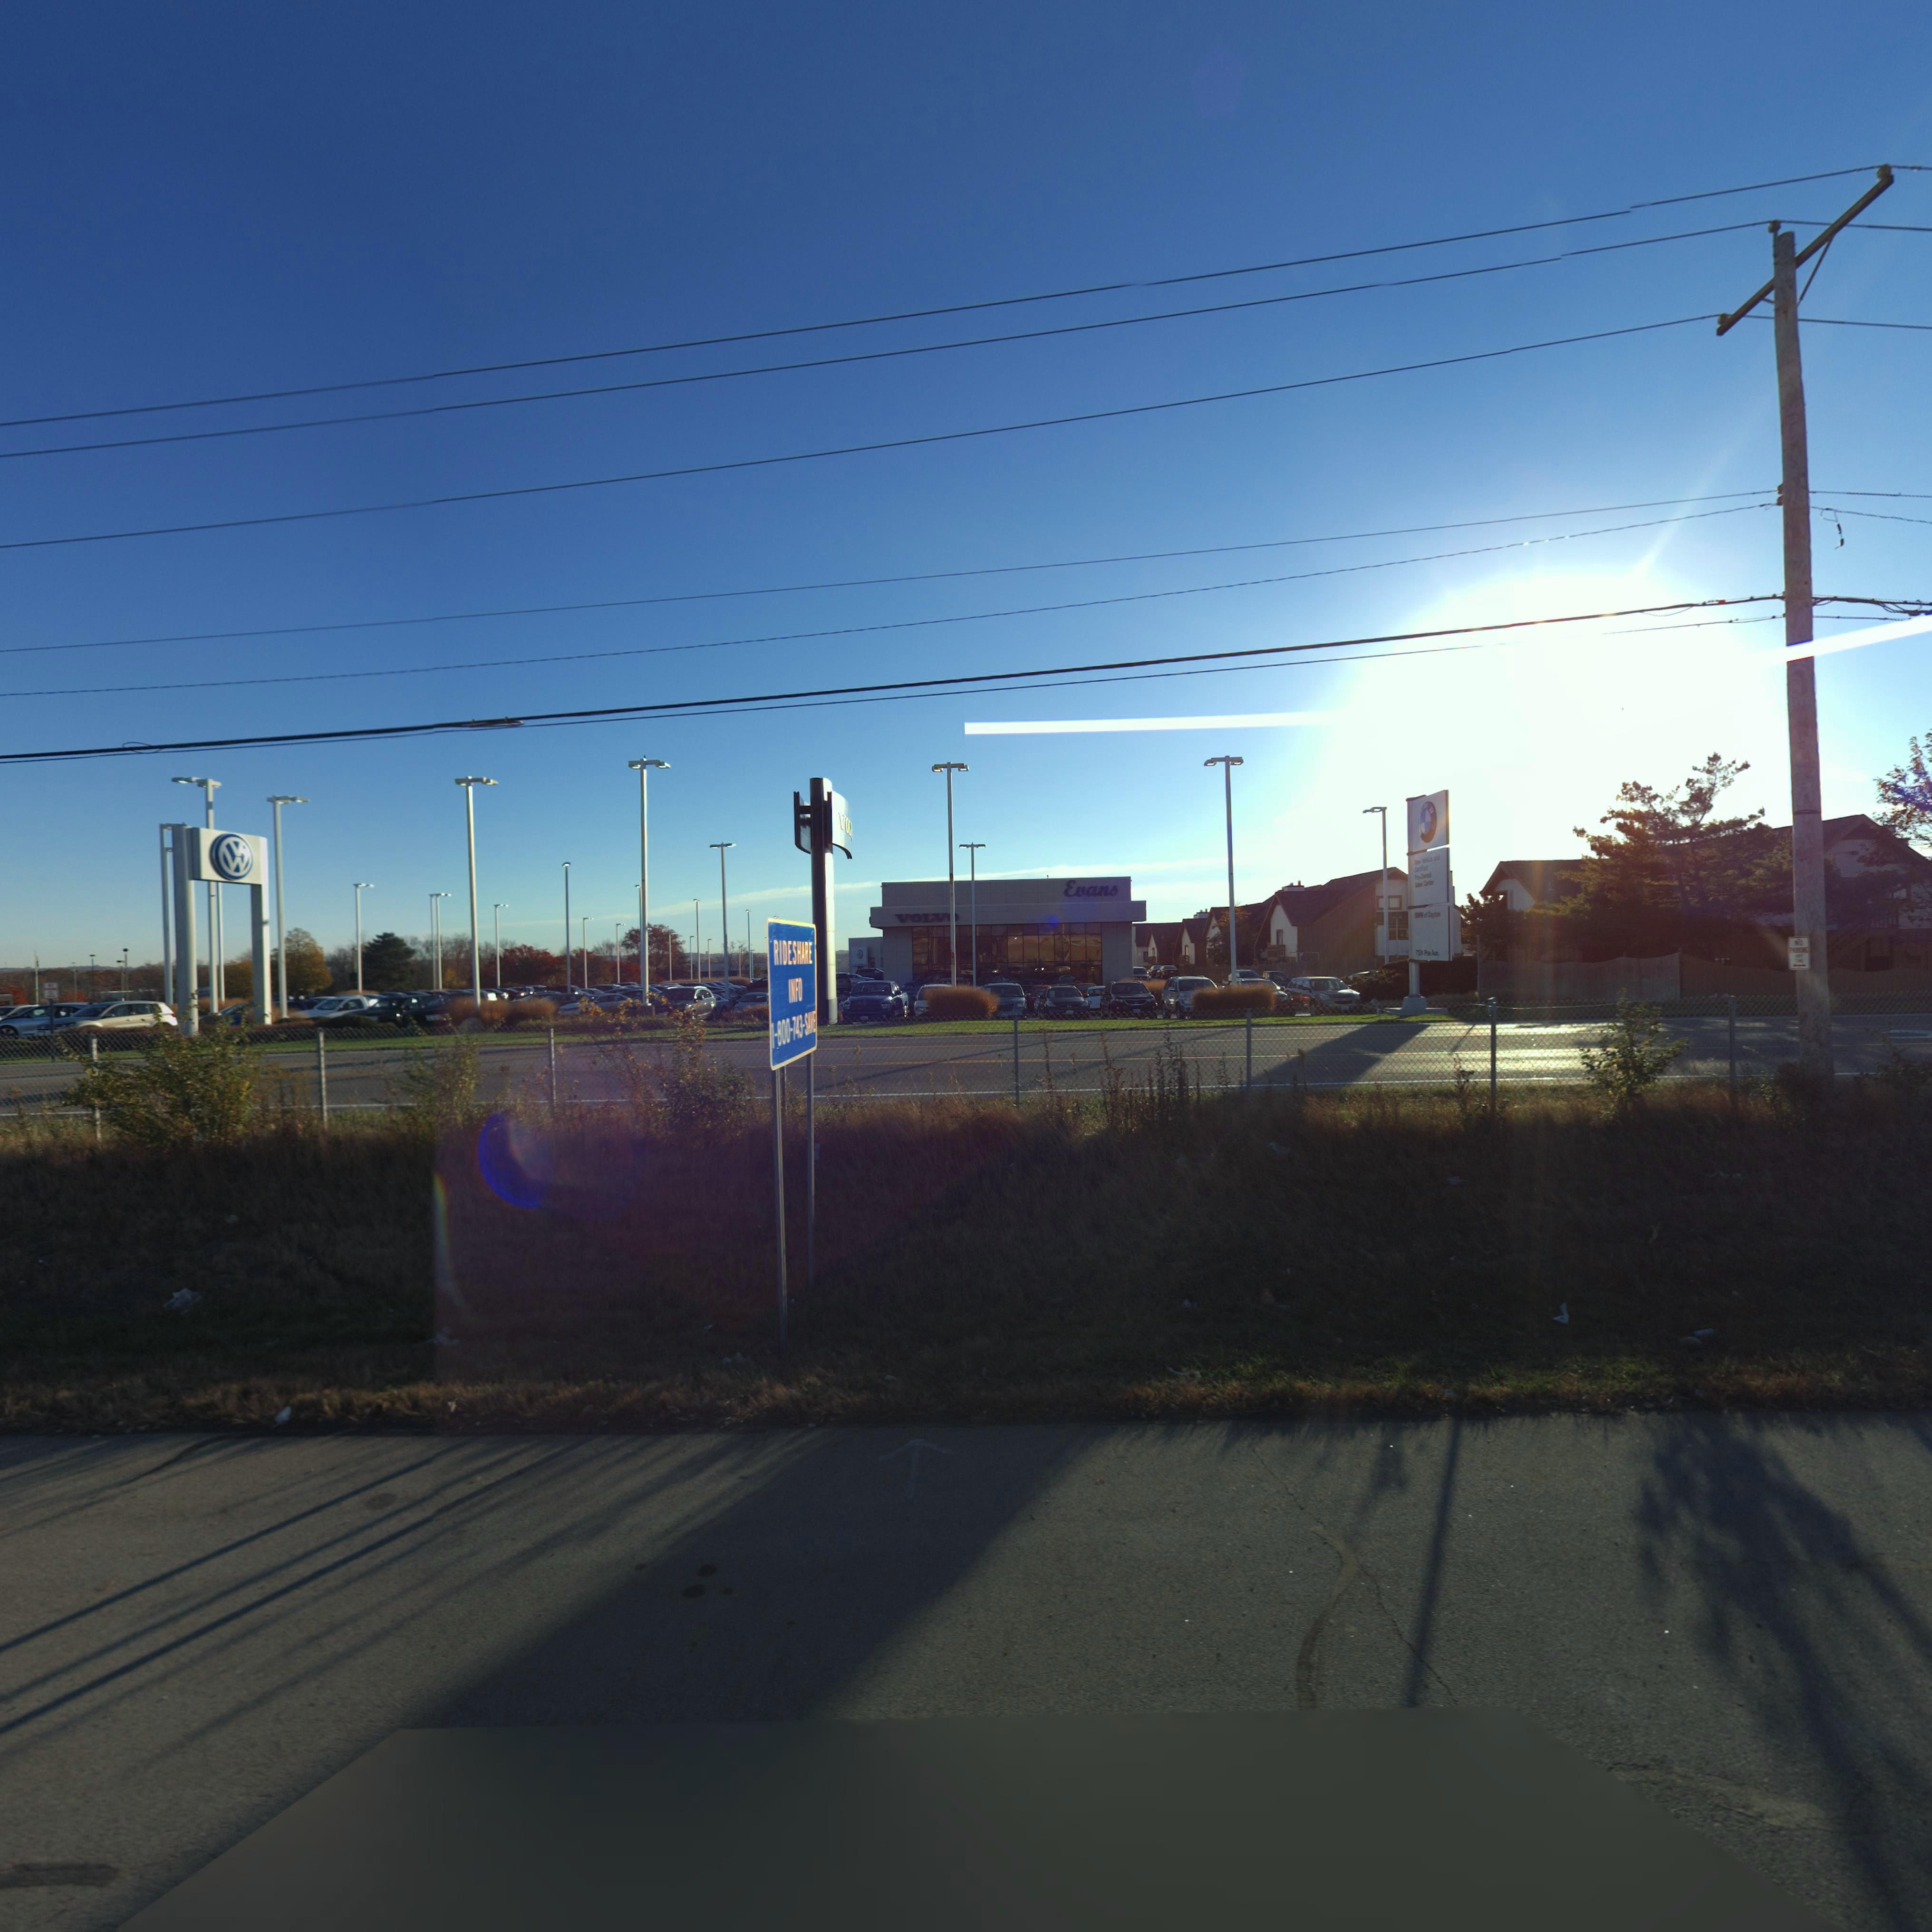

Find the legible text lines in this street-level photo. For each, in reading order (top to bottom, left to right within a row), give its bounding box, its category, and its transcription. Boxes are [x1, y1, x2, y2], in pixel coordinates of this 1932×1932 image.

[1061, 879, 1121, 900] BusinessName: Evans
[891, 910, 962, 926] BusinessName: VOLVO
[1414, 911, 1439, 918] None: BMW of Dayton
[770, 937, 815, 969] None: RIDESHARE
[1414, 948, 1424, 957] StreetNumber: 7*2*
[785, 975, 804, 1007] None: INFO
[769, 1009, 817, 1050] None: 1-800-743-SAVE